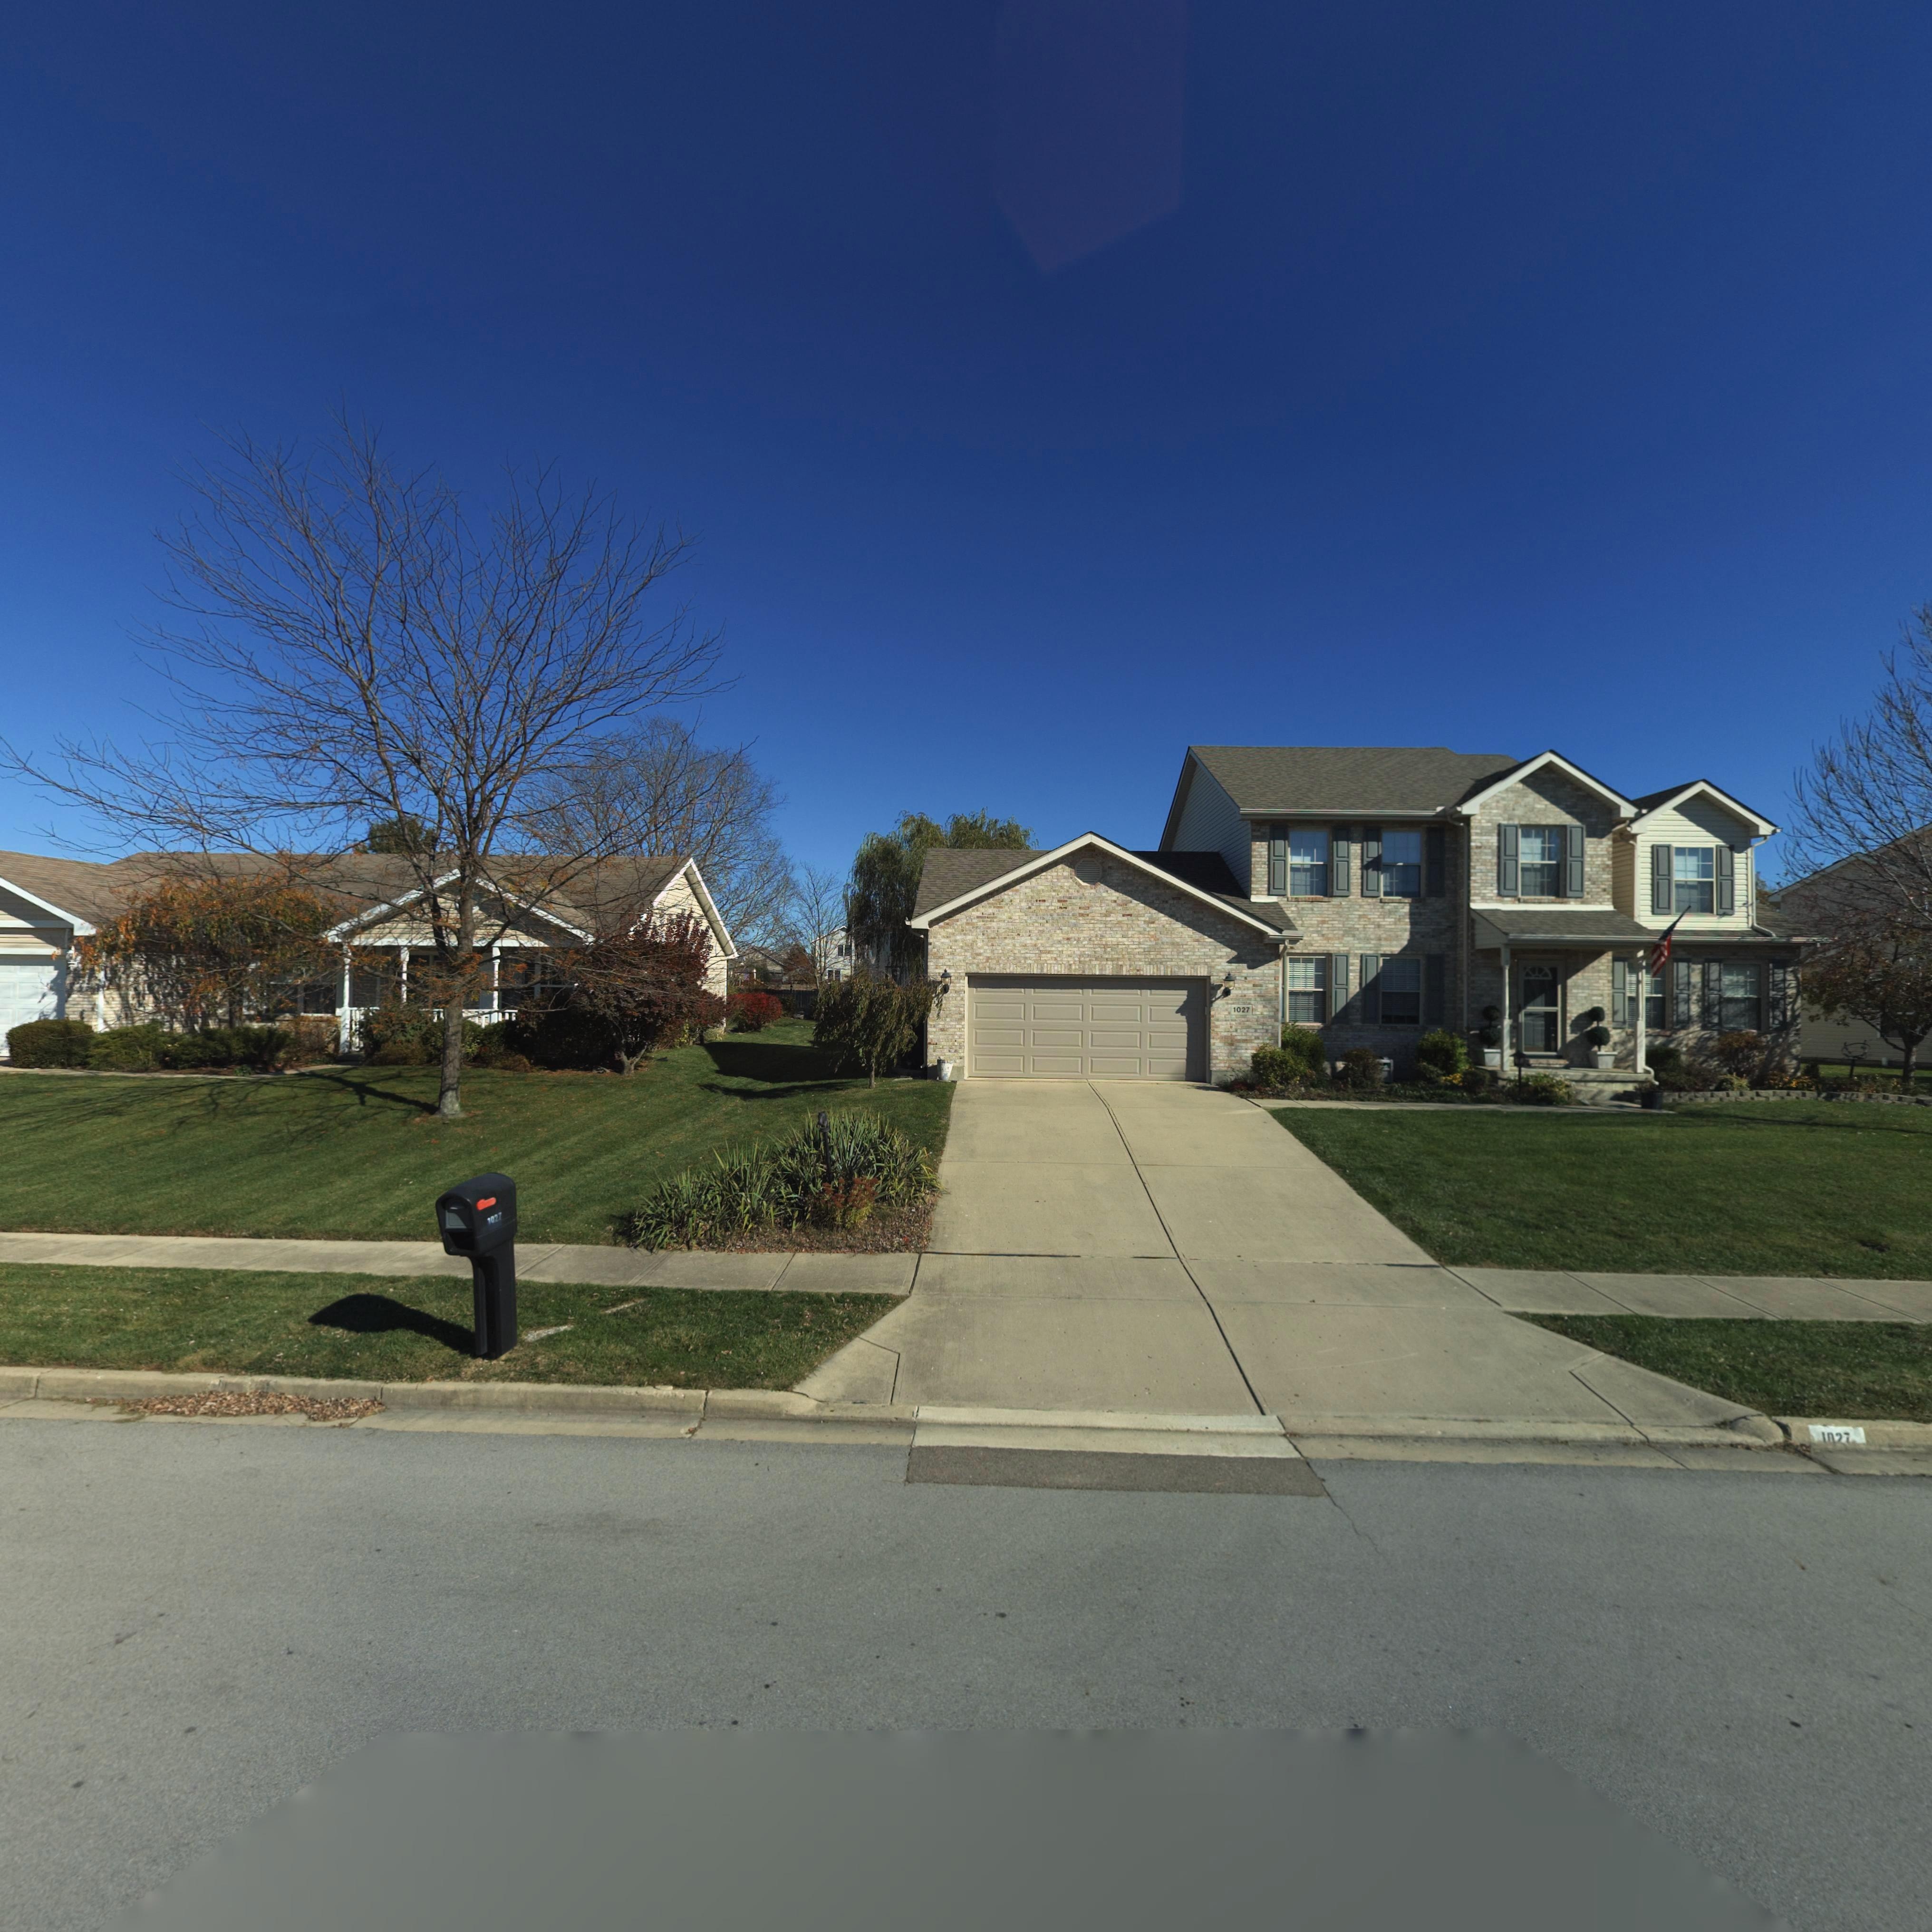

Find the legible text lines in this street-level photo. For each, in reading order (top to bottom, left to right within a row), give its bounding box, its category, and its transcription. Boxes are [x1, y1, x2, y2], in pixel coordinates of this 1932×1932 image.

[1232, 1006, 1251, 1014] StreetNumber: 1027
[486, 1210, 502, 1226] StreetNumber: 1027
[1821, 1430, 1851, 1444] StreetNumber: 1**7